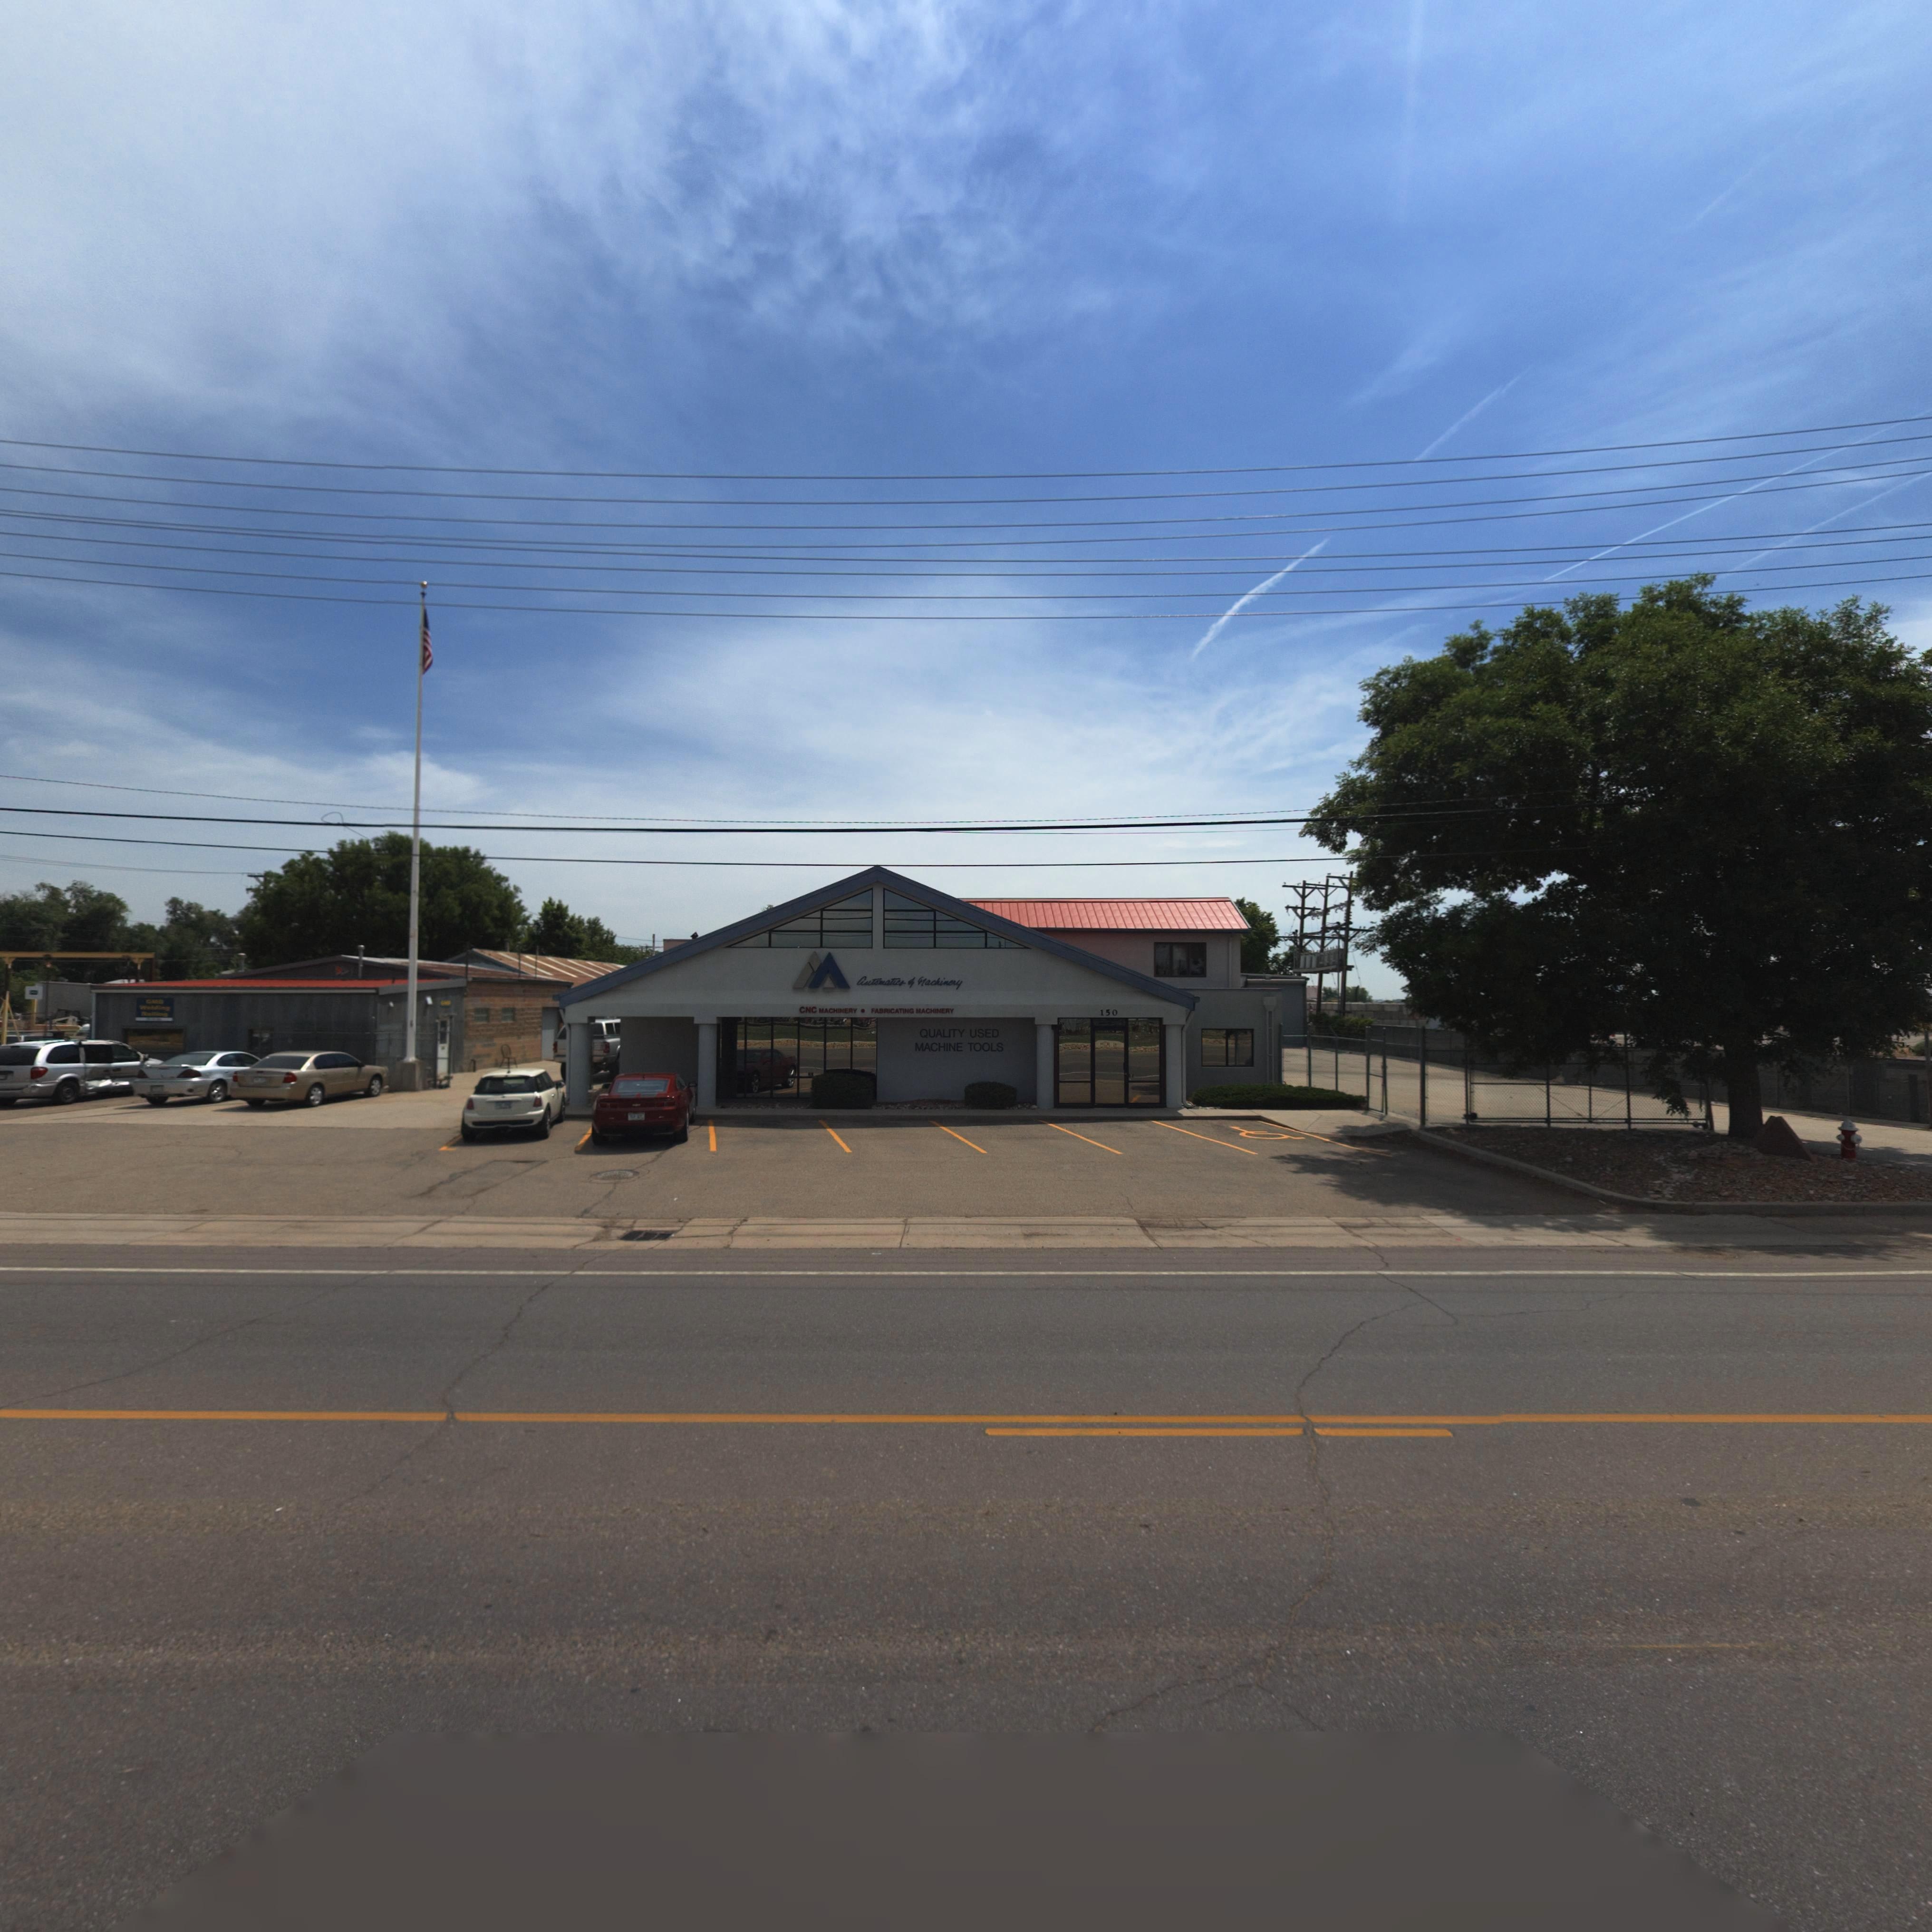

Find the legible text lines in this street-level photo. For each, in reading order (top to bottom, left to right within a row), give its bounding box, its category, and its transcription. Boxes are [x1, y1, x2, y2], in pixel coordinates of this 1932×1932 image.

[856, 976, 963, 990] BusinessName: Automatics * Machinery
[145, 999, 164, 1004] BusinessName: G*B
[139, 1005, 170, 1011] BusinessName: W*****g
[140, 1011, 168, 1017] BusinessName: R*****g
[1100, 1009, 1118, 1016] StreetNumber: 150